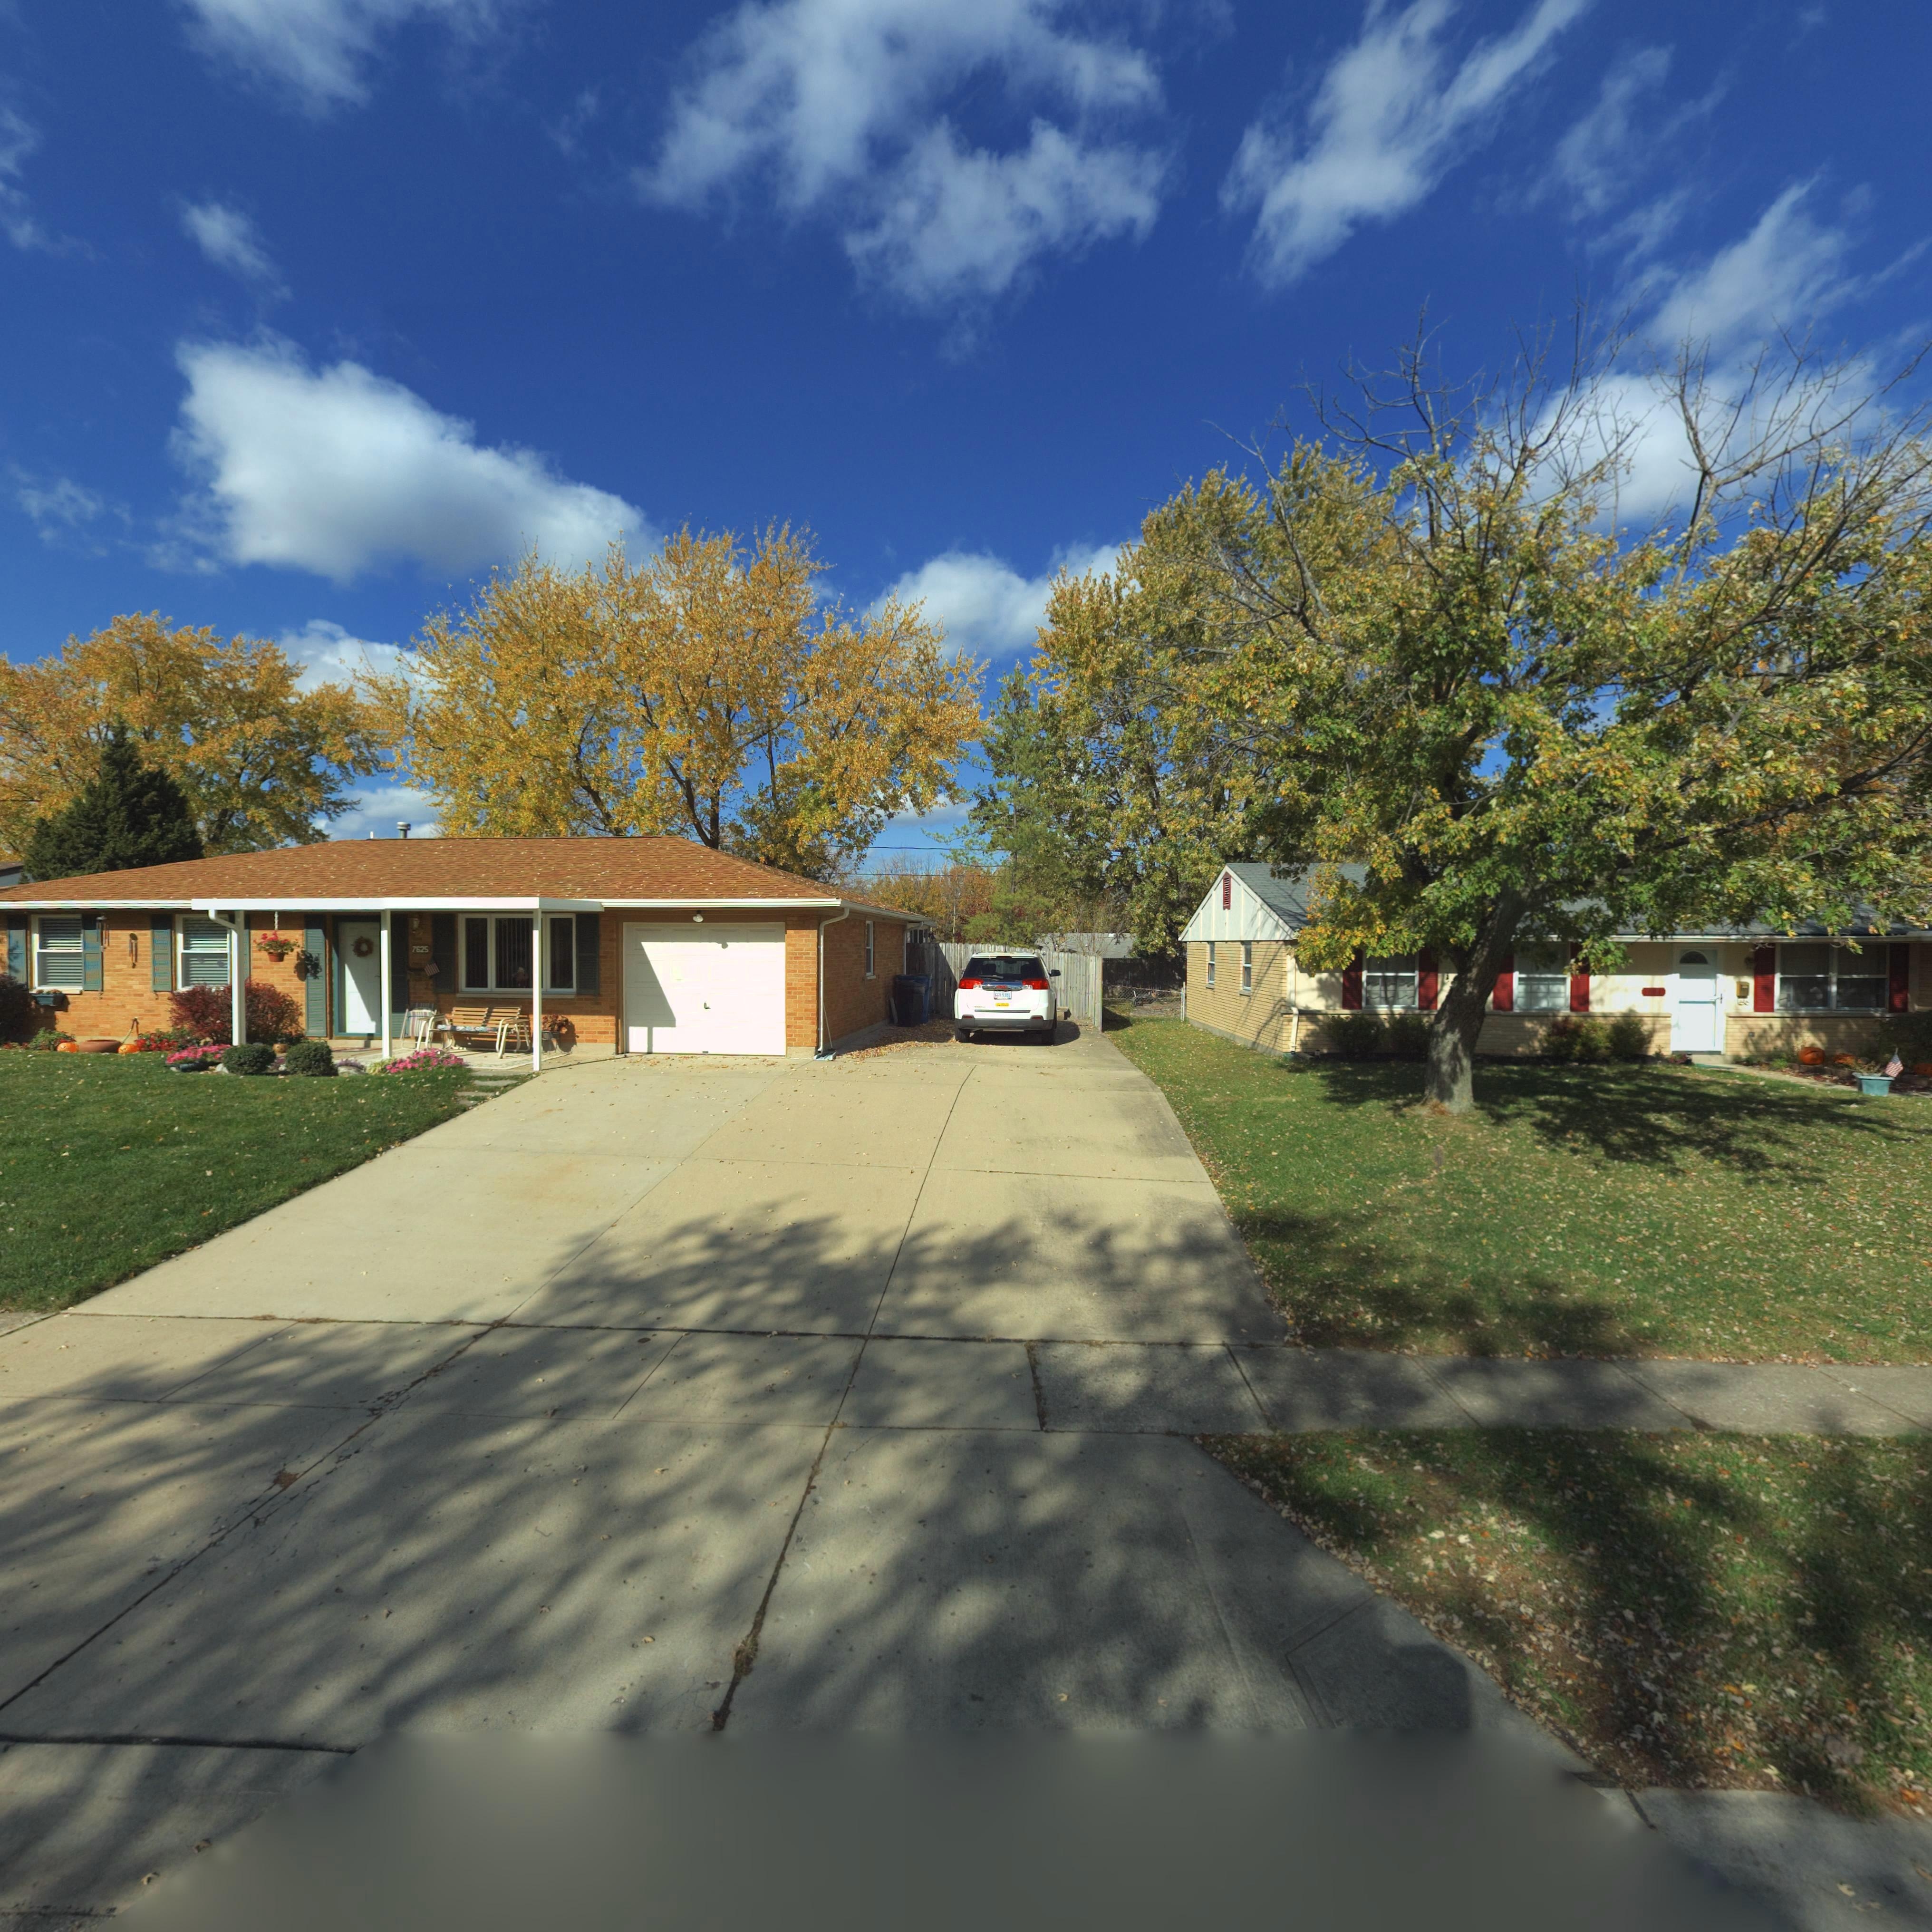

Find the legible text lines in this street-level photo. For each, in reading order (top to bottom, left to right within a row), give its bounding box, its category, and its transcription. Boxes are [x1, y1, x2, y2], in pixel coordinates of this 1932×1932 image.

[412, 946, 429, 953] StreetNumber: 7625